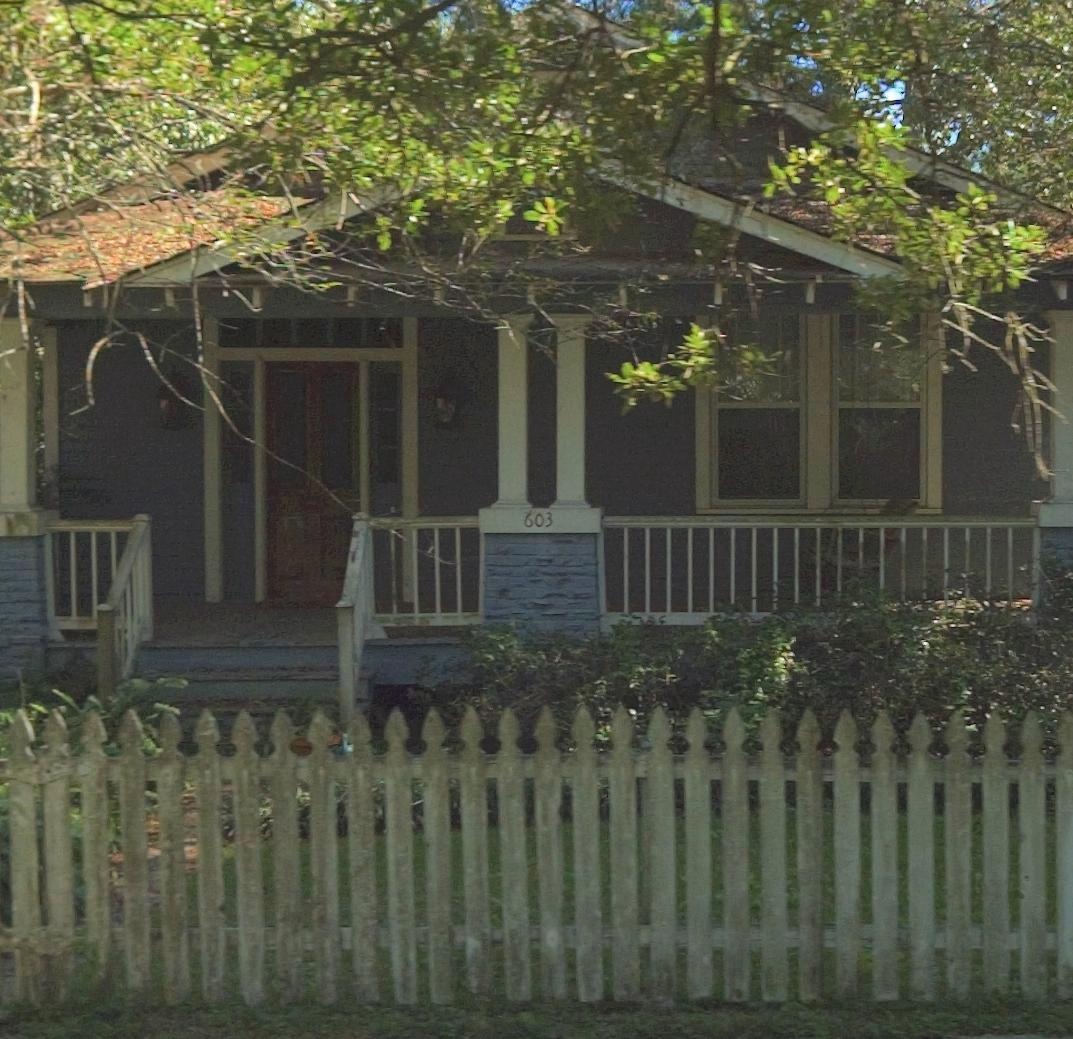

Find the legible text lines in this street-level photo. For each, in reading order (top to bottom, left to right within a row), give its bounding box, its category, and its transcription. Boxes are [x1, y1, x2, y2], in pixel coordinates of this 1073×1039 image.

[521, 509, 555, 530] StreetNumber: 603